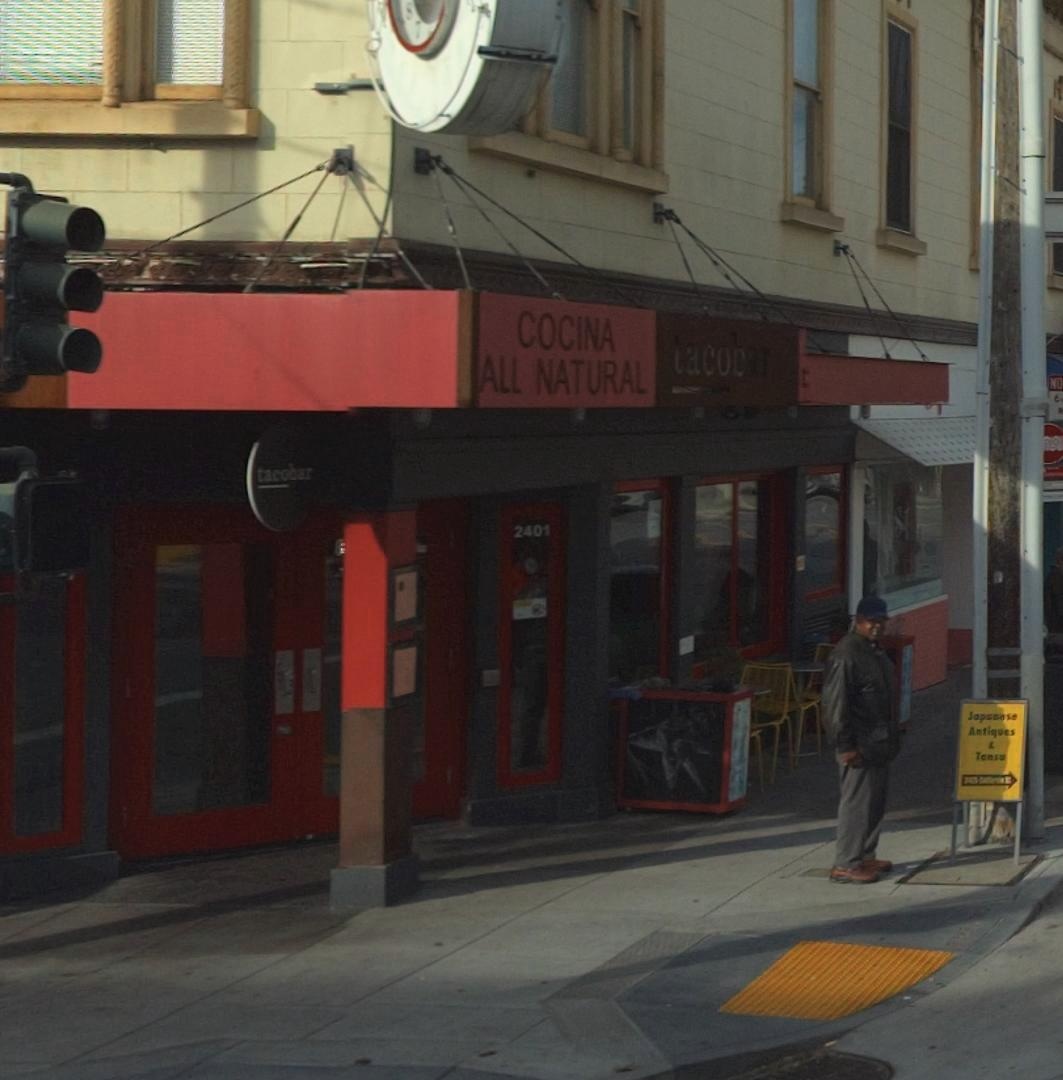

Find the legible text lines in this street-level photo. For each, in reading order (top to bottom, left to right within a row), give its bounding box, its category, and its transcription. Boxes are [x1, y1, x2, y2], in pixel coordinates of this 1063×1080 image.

[514, 306, 620, 356] None: COCINA
[667, 329, 777, 381] BusinessName: tacobar
[474, 351, 651, 398] None: ALL NATURAL
[254, 460, 317, 486] BusinessName: tacobar
[511, 522, 552, 540] StreetNumber: 2401
[965, 708, 1021, 726] None: Japanese
[965, 723, 1019, 741] None: Antiques
[972, 748, 1009, 763] None: Tansu